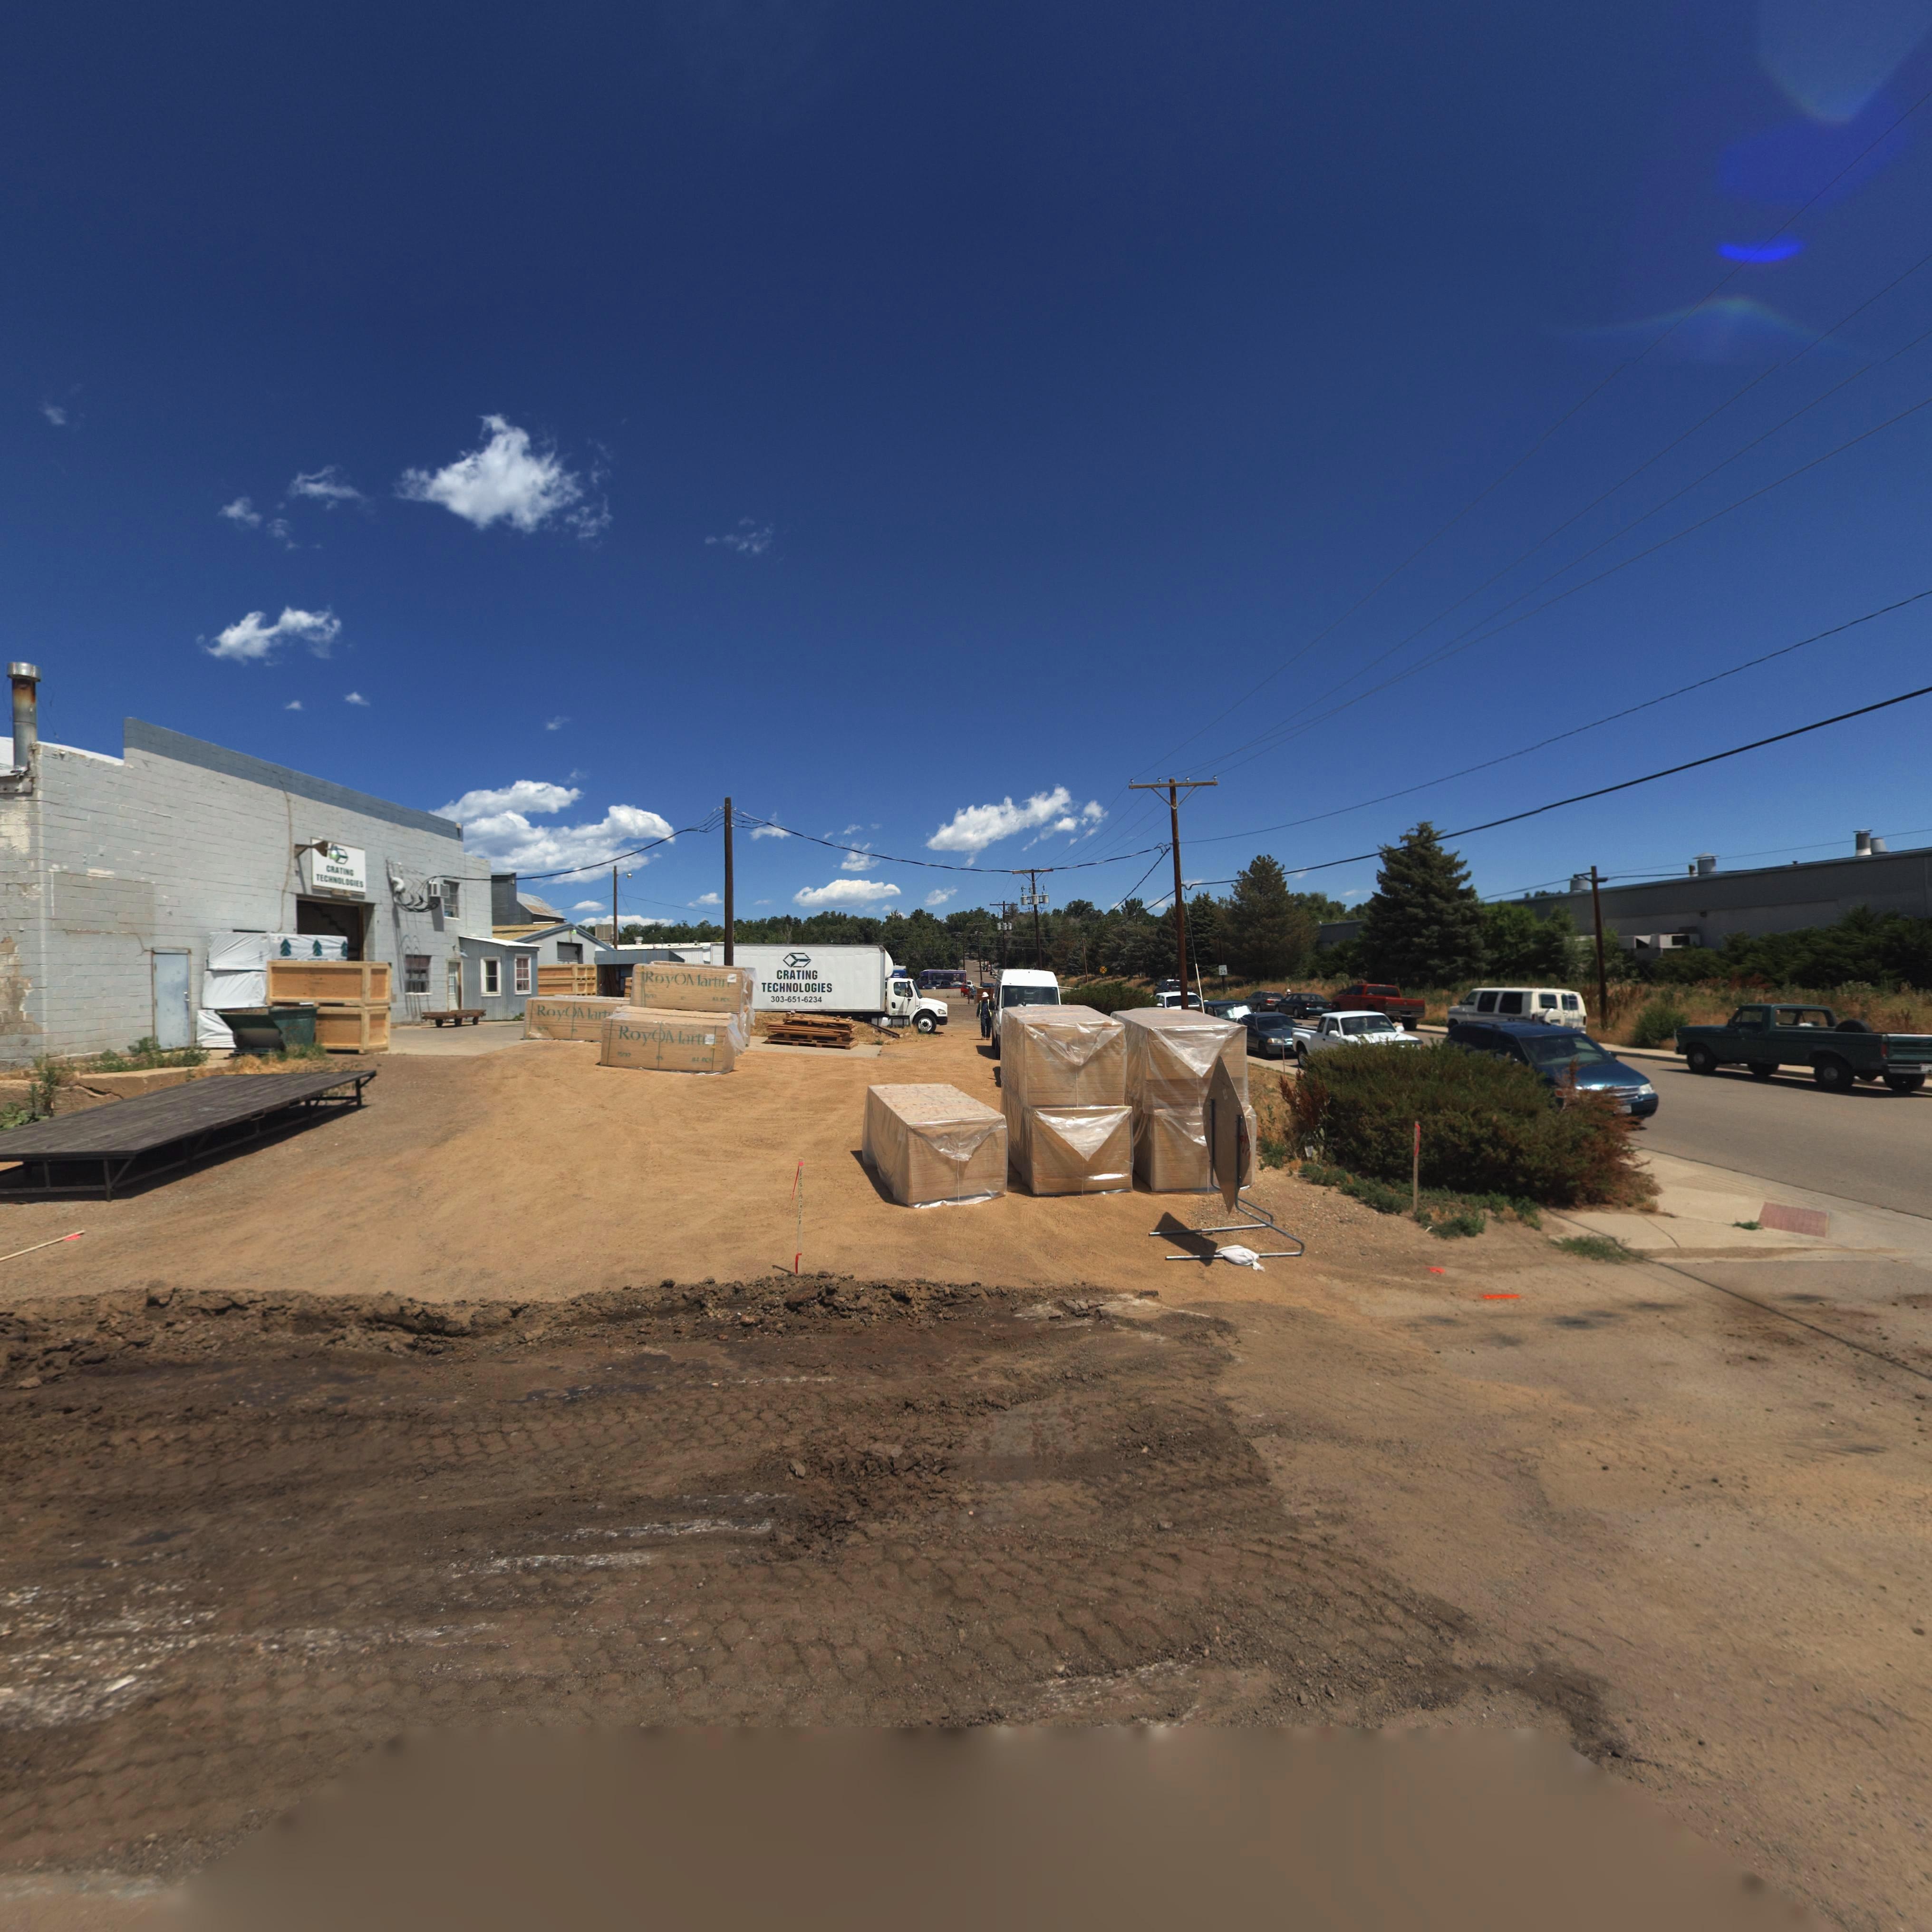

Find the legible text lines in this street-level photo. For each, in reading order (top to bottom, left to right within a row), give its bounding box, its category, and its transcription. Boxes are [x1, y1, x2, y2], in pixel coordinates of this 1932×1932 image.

[324, 864, 354, 876] BusinessName: CRATING
[316, 873, 364, 888] BusinessName: TECHNOLOGIES